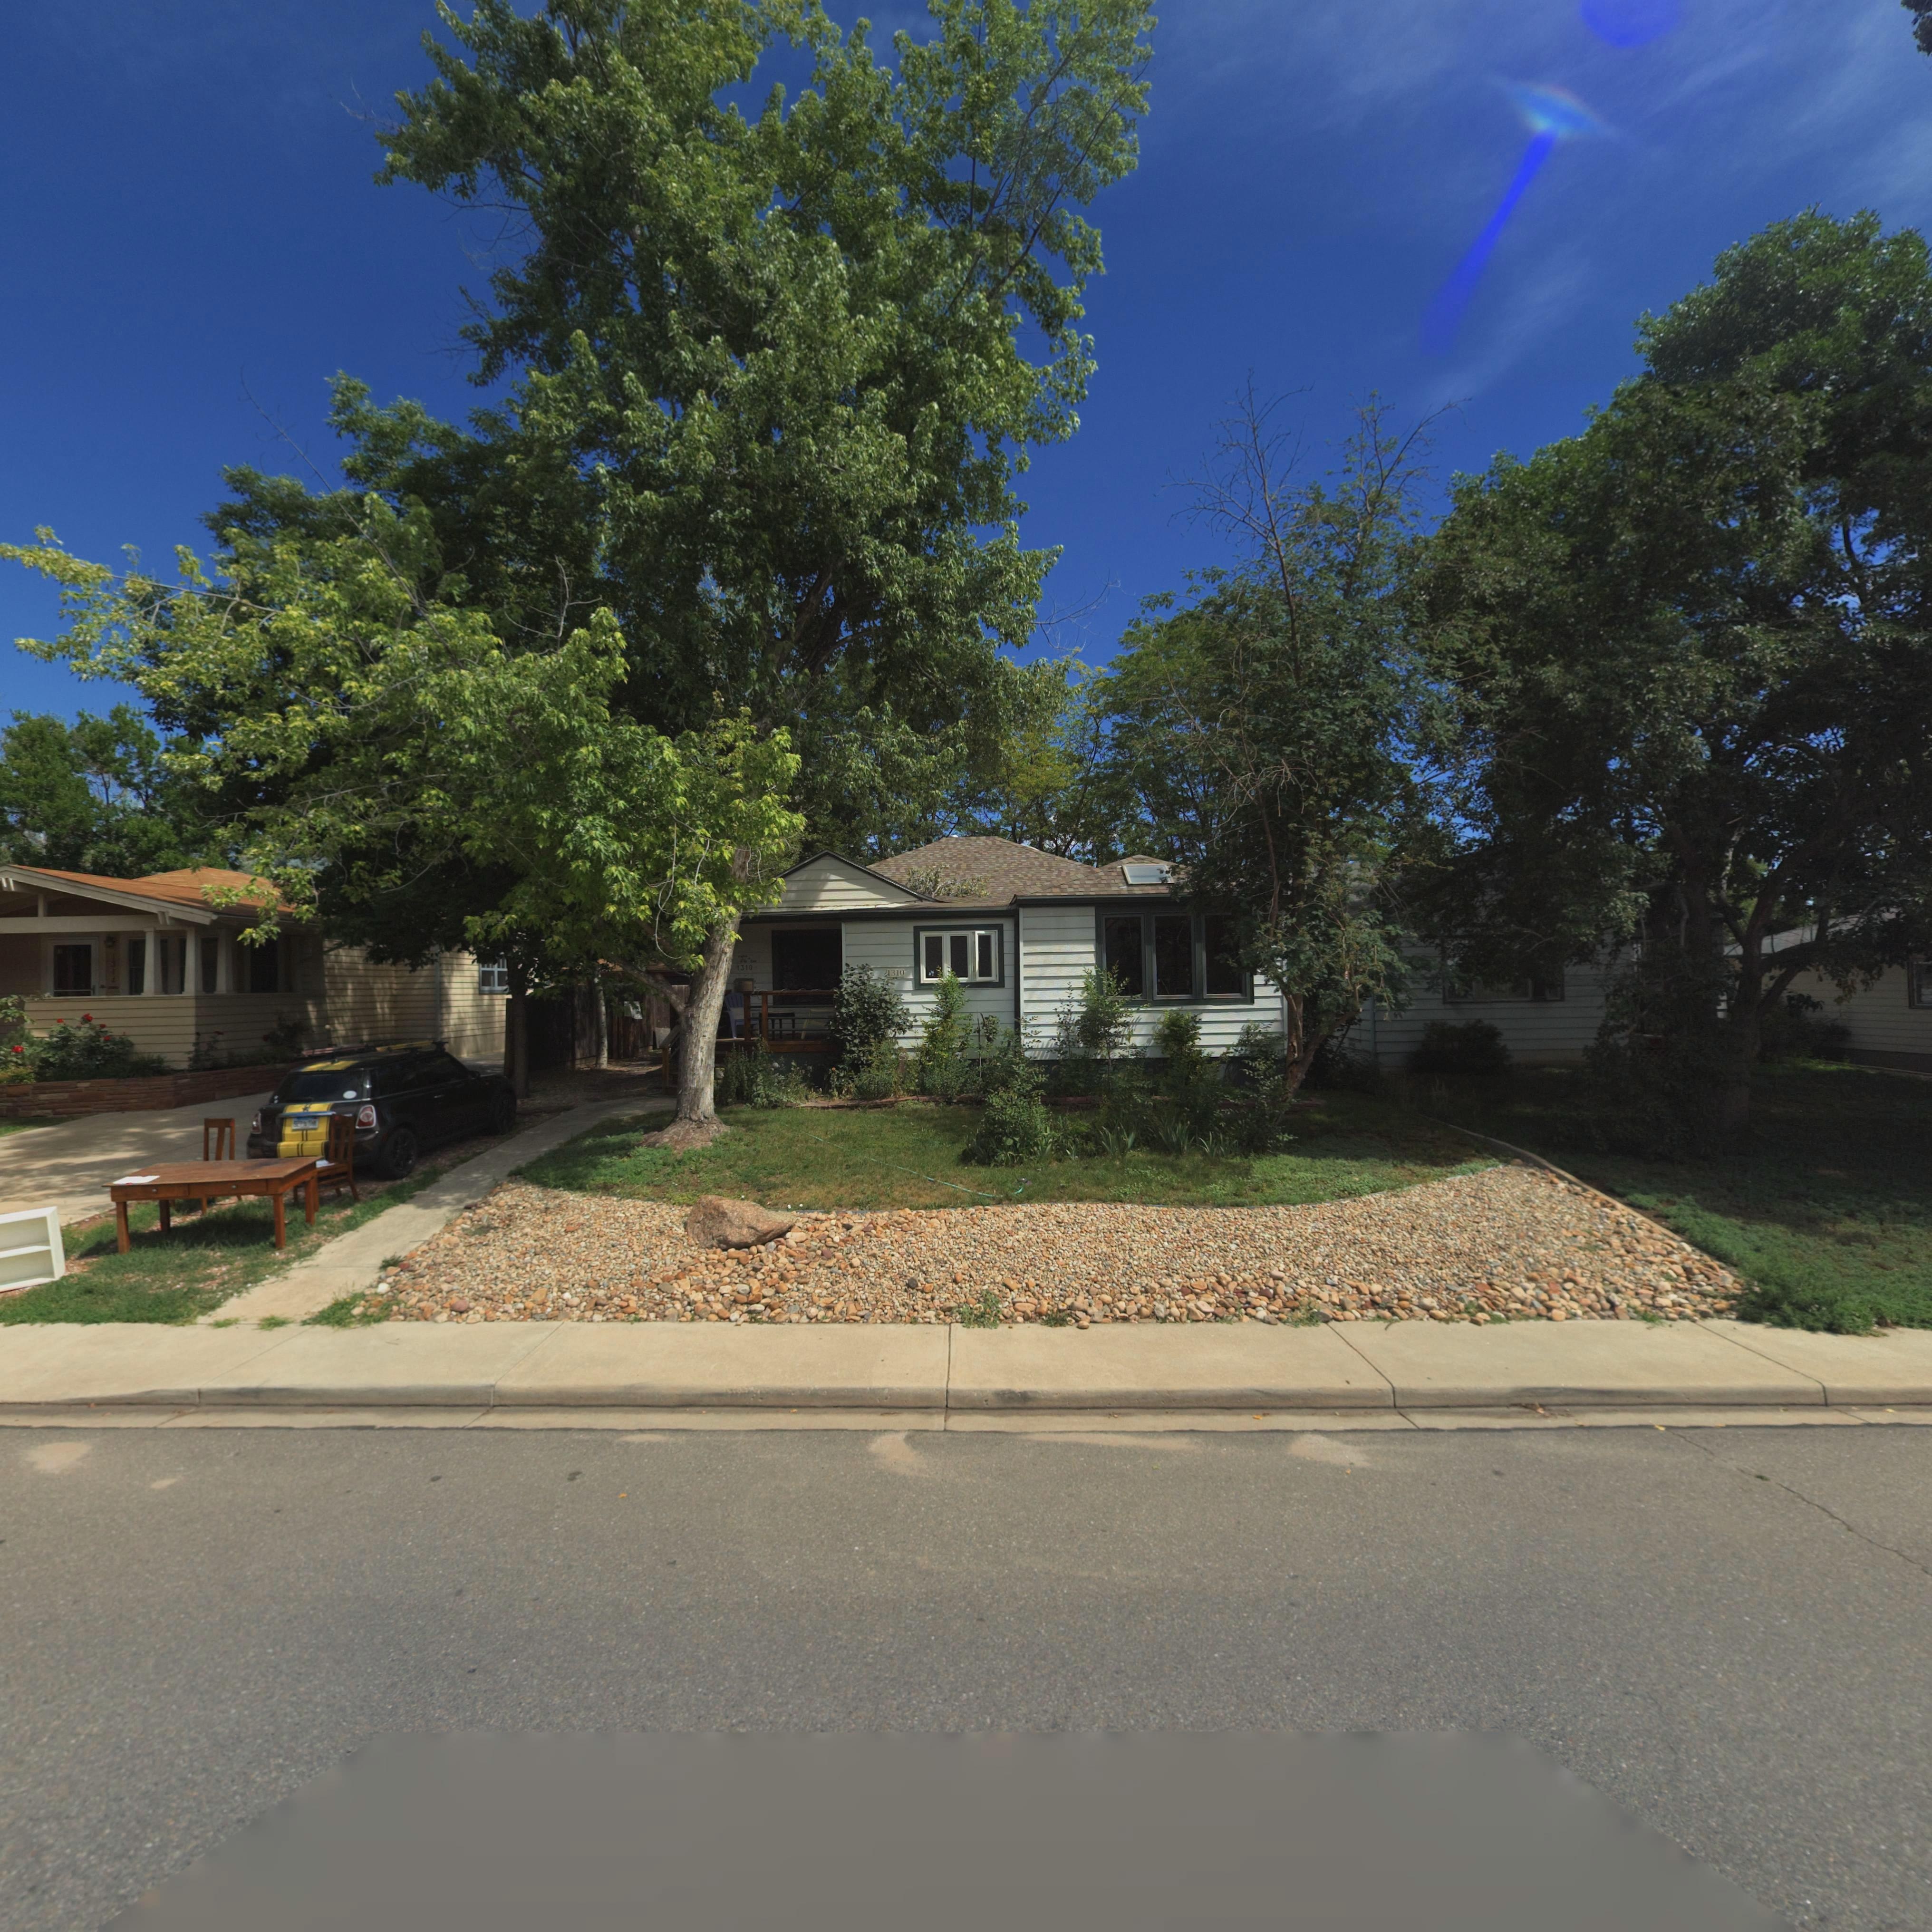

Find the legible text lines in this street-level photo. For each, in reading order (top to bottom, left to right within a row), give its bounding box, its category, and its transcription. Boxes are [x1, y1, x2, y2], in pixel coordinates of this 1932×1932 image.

[110, 952, 116, 984] StreetNumber: 1314*
[736, 964, 752, 971] StreetNumber: 1310
[887, 969, 904, 976] StreetNumber: 1310